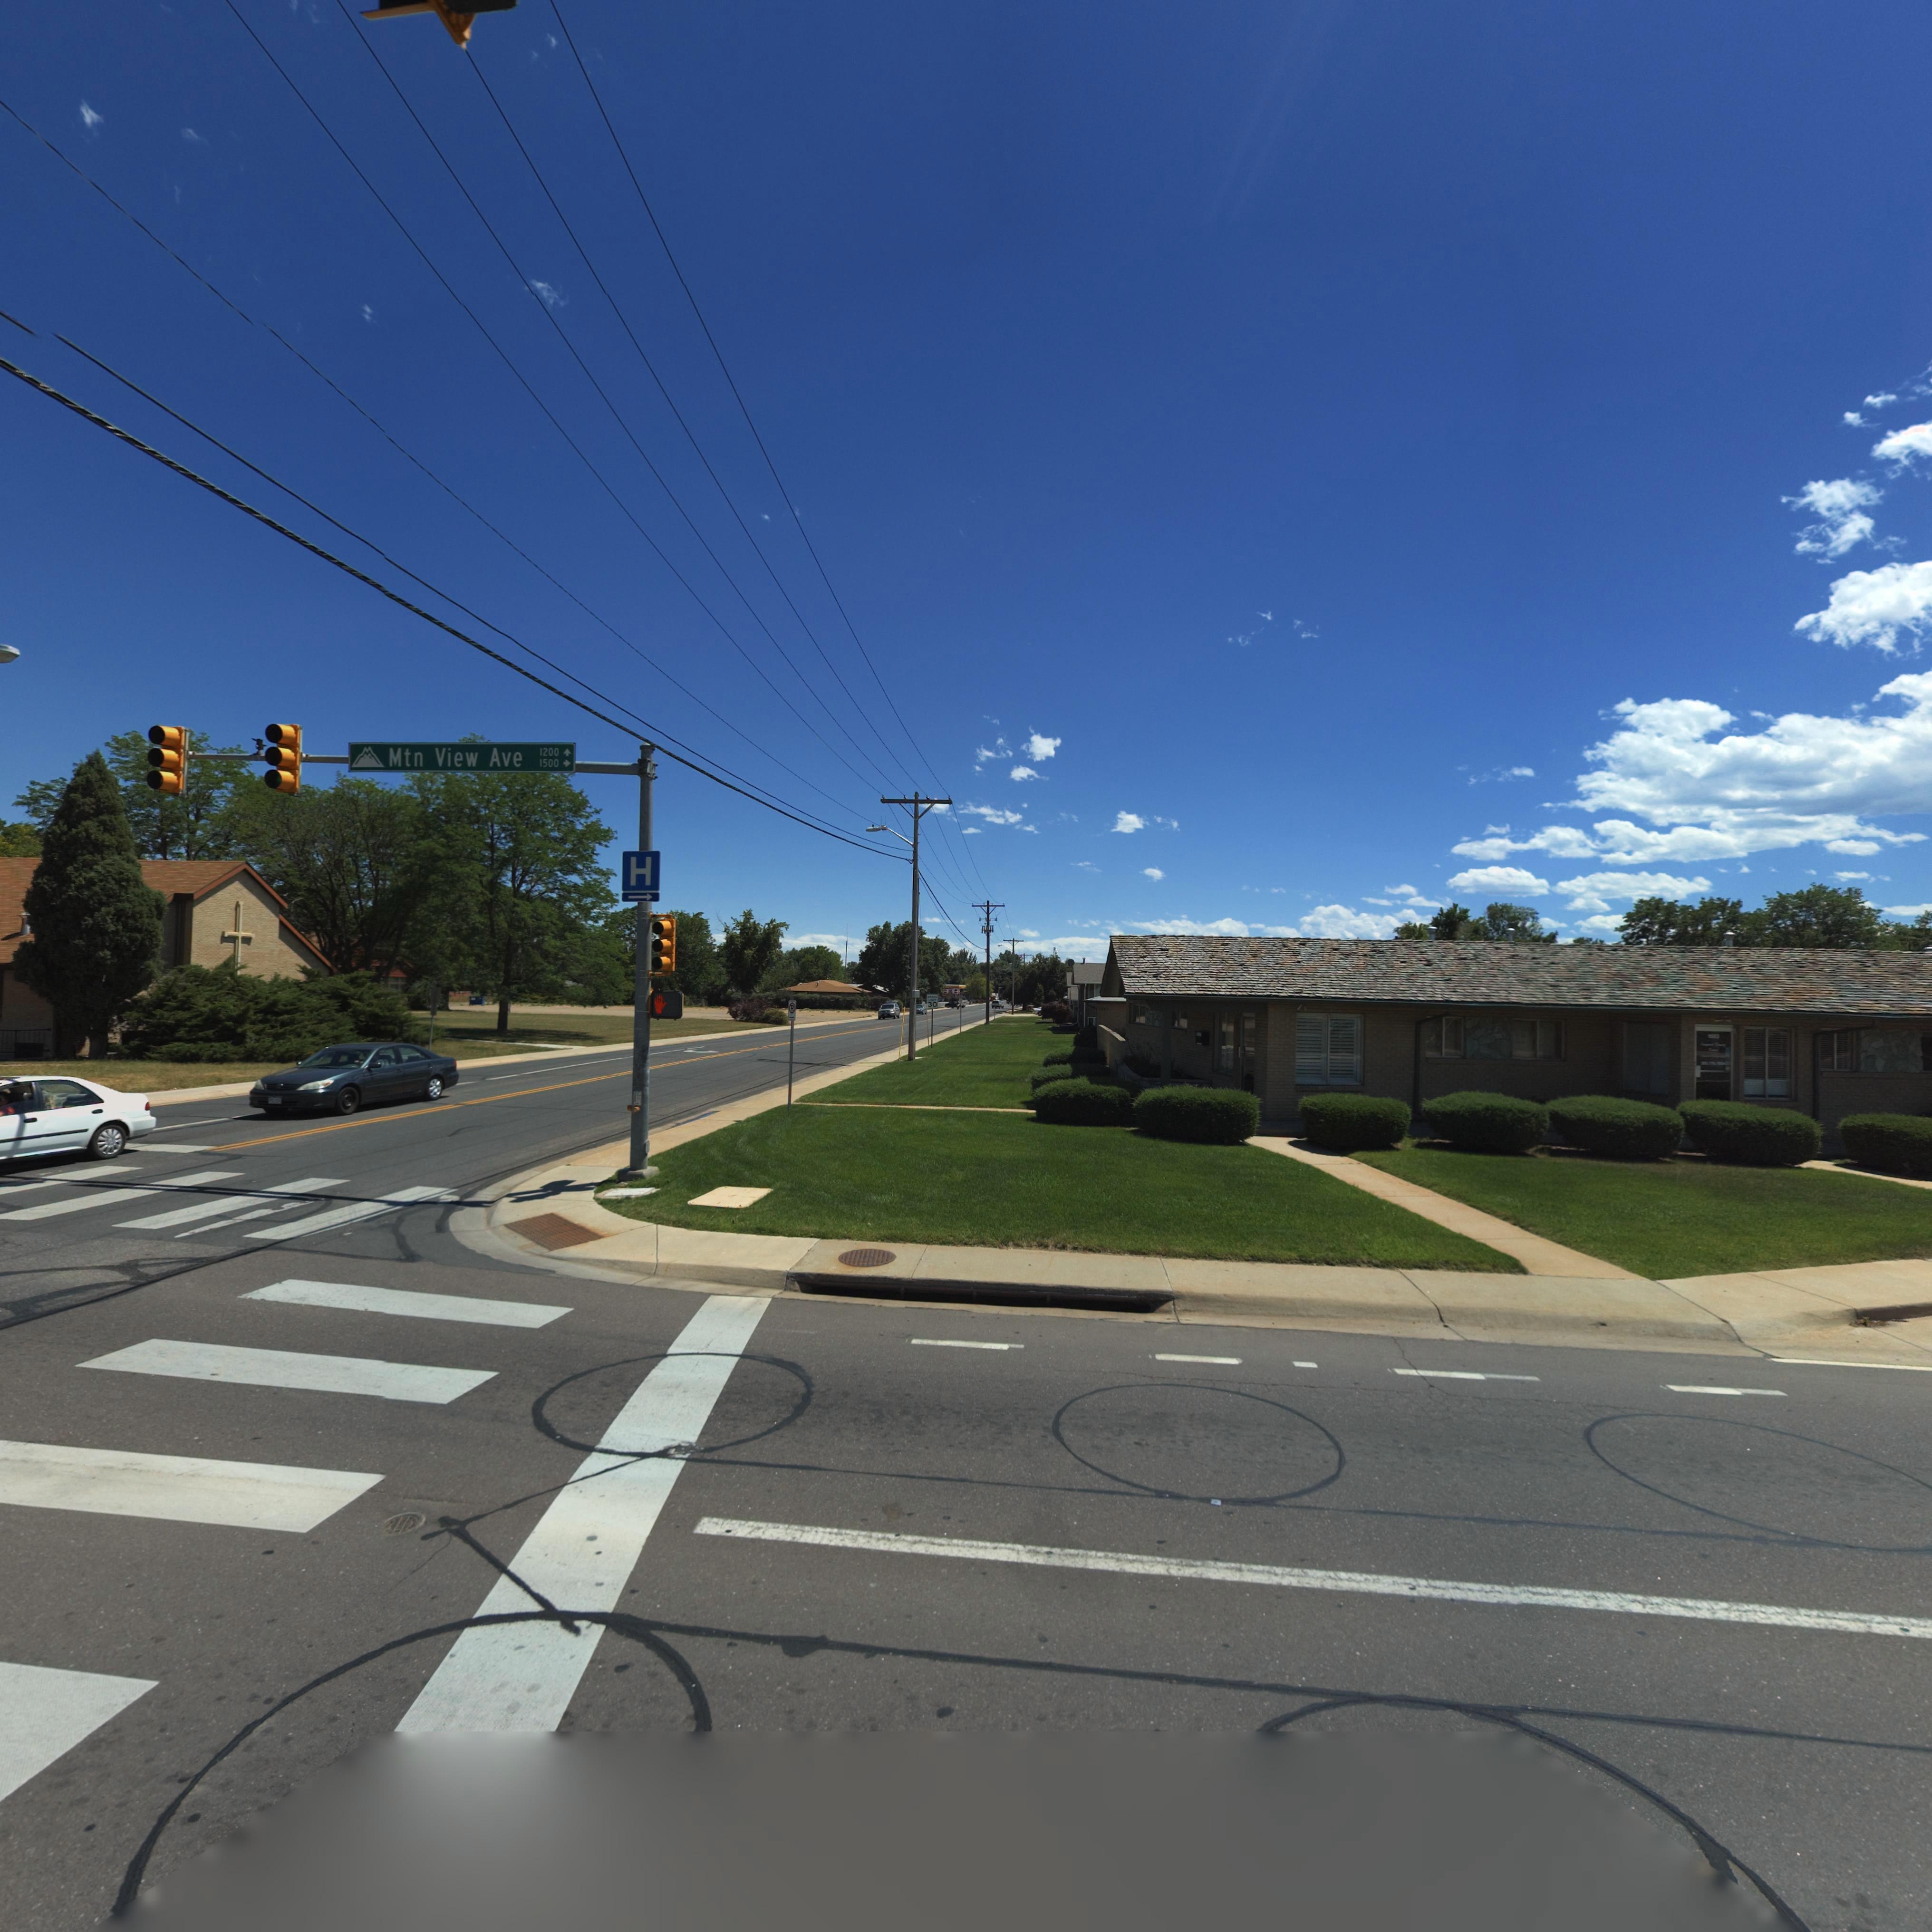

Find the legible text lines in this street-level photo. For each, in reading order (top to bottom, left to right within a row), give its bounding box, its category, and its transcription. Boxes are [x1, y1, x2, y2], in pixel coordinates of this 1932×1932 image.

[539, 747, 559, 756] StreetNumberRange: 1200
[388, 747, 522, 767] StreetName: Mtn View Ave
[537, 758, 571, 768] StreetNumberRange: 1500 ->
[1707, 1033, 1719, 1039] StreetNumber: 15*0